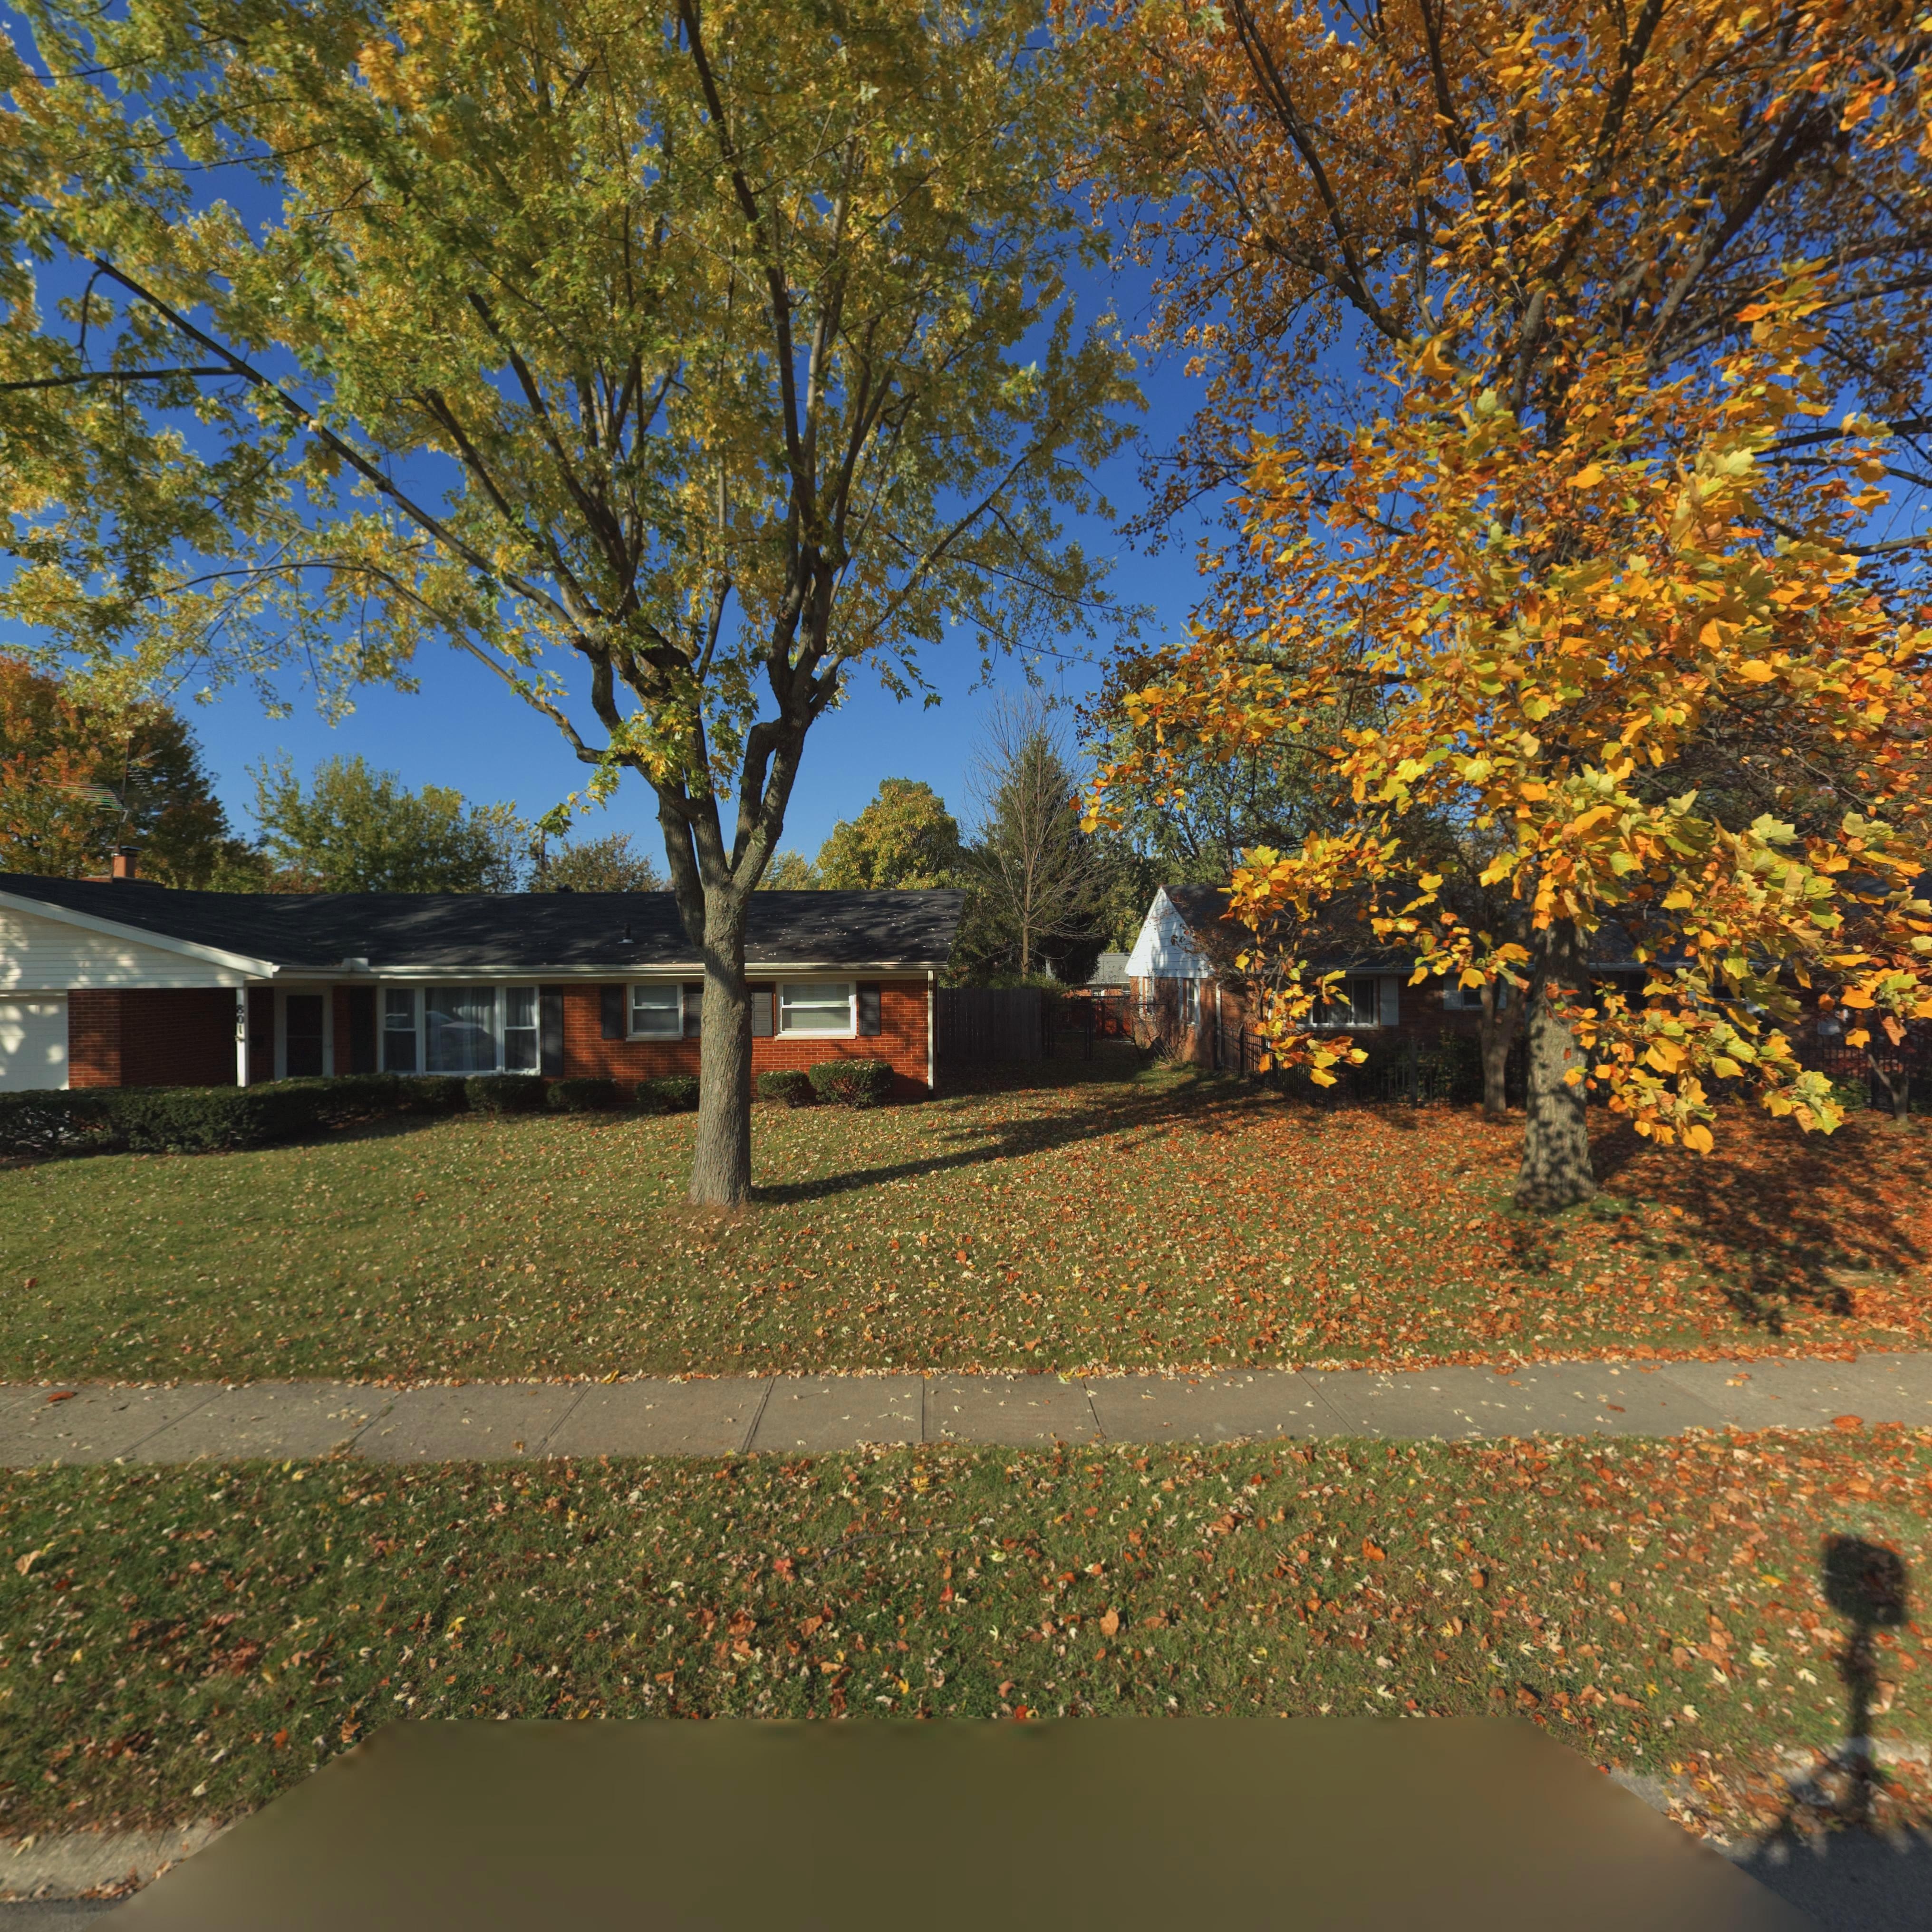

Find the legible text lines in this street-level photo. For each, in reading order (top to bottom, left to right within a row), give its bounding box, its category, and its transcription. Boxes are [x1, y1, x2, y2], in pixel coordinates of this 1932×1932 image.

[235, 1003, 245, 1034] StreetNumber: 801